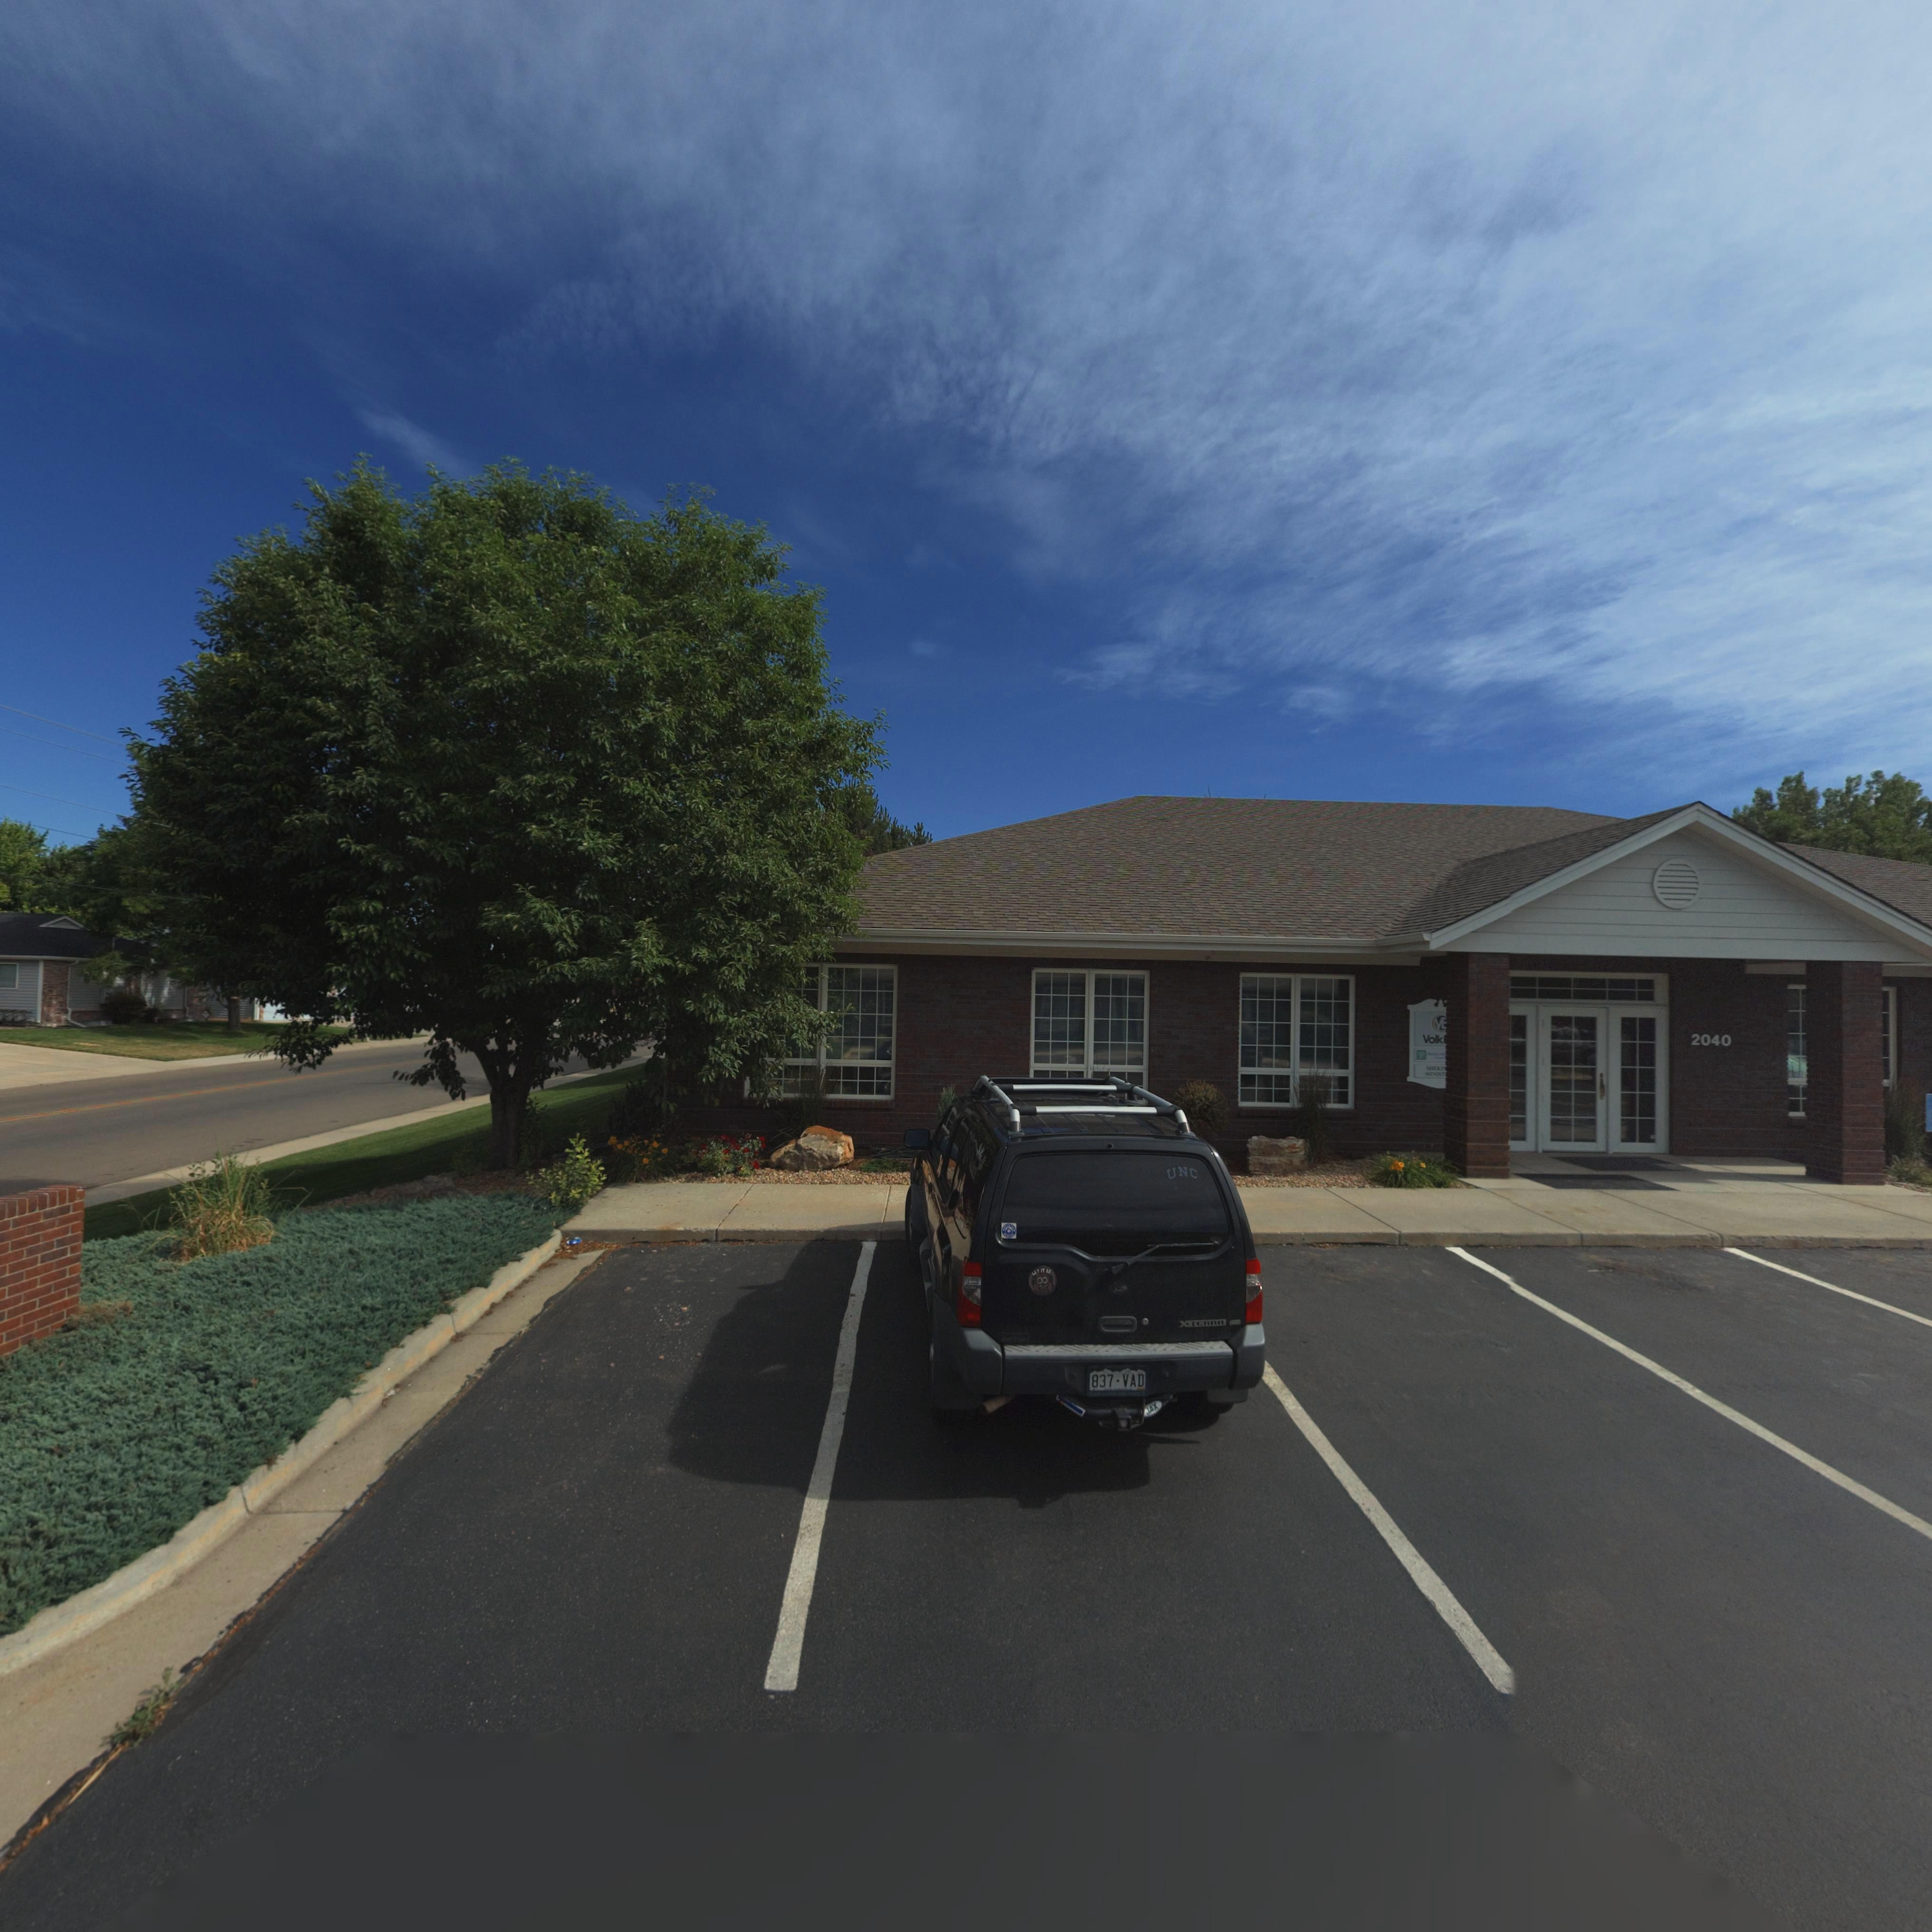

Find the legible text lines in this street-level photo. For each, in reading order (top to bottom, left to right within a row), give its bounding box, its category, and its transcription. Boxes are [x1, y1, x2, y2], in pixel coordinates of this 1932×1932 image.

[1433, 1016, 1444, 1030] BusinessName: V
[1422, 1034, 1443, 1044] BusinessName: Volk
[1690, 1033, 1732, 1047] StreetNumber: 2040
[1426, 1065, 1443, 1071] BusinessName: SH***
[1424, 1072, 1445, 1076] BusinessName: MINIS*